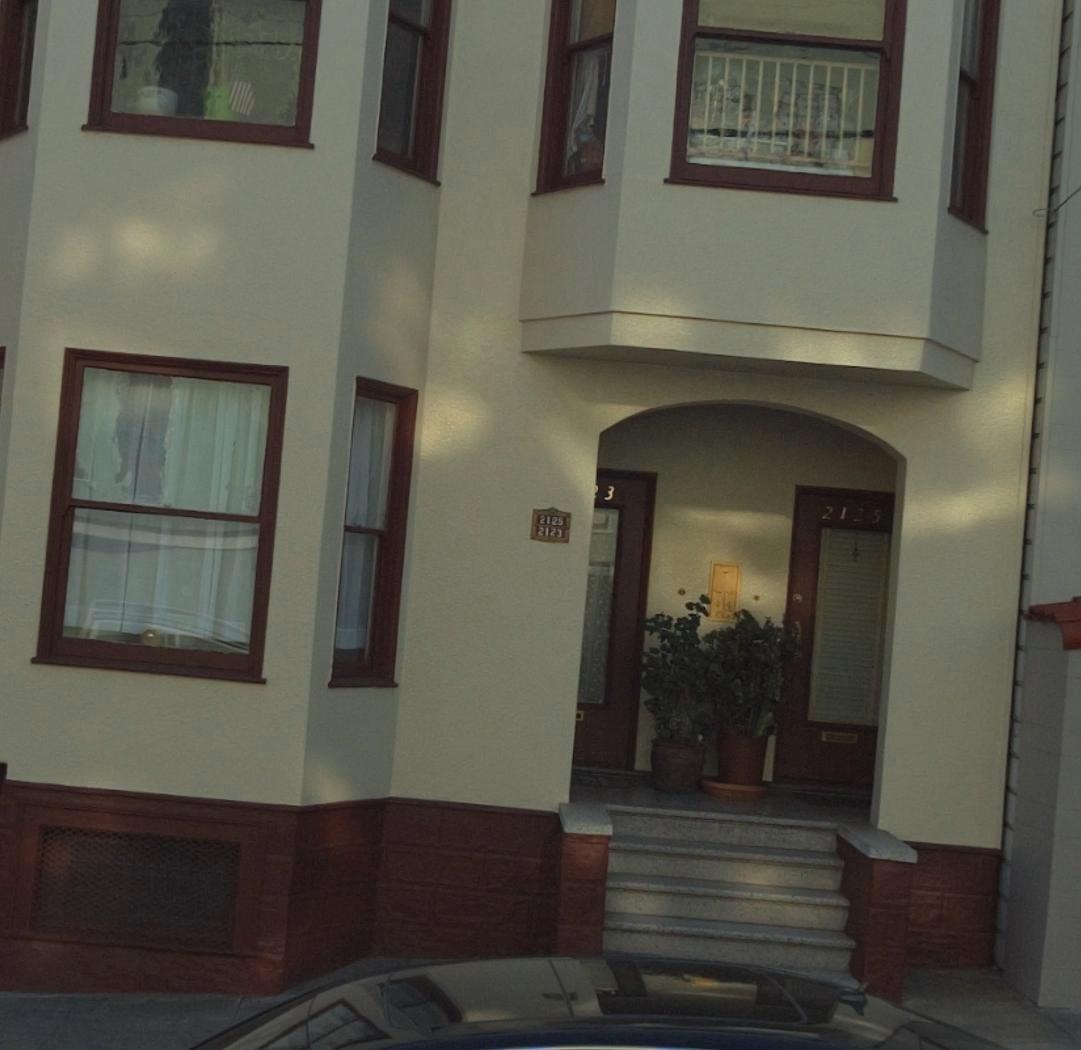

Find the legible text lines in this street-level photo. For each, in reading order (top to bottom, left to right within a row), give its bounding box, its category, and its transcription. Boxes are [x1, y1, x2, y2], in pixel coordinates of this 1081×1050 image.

[603, 484, 618, 503] StreetNumber: 3
[538, 514, 565, 527] StreetNumber: 2125
[820, 504, 884, 526] StreetNumber: 2125
[537, 525, 564, 539] StreetNumber: 2123